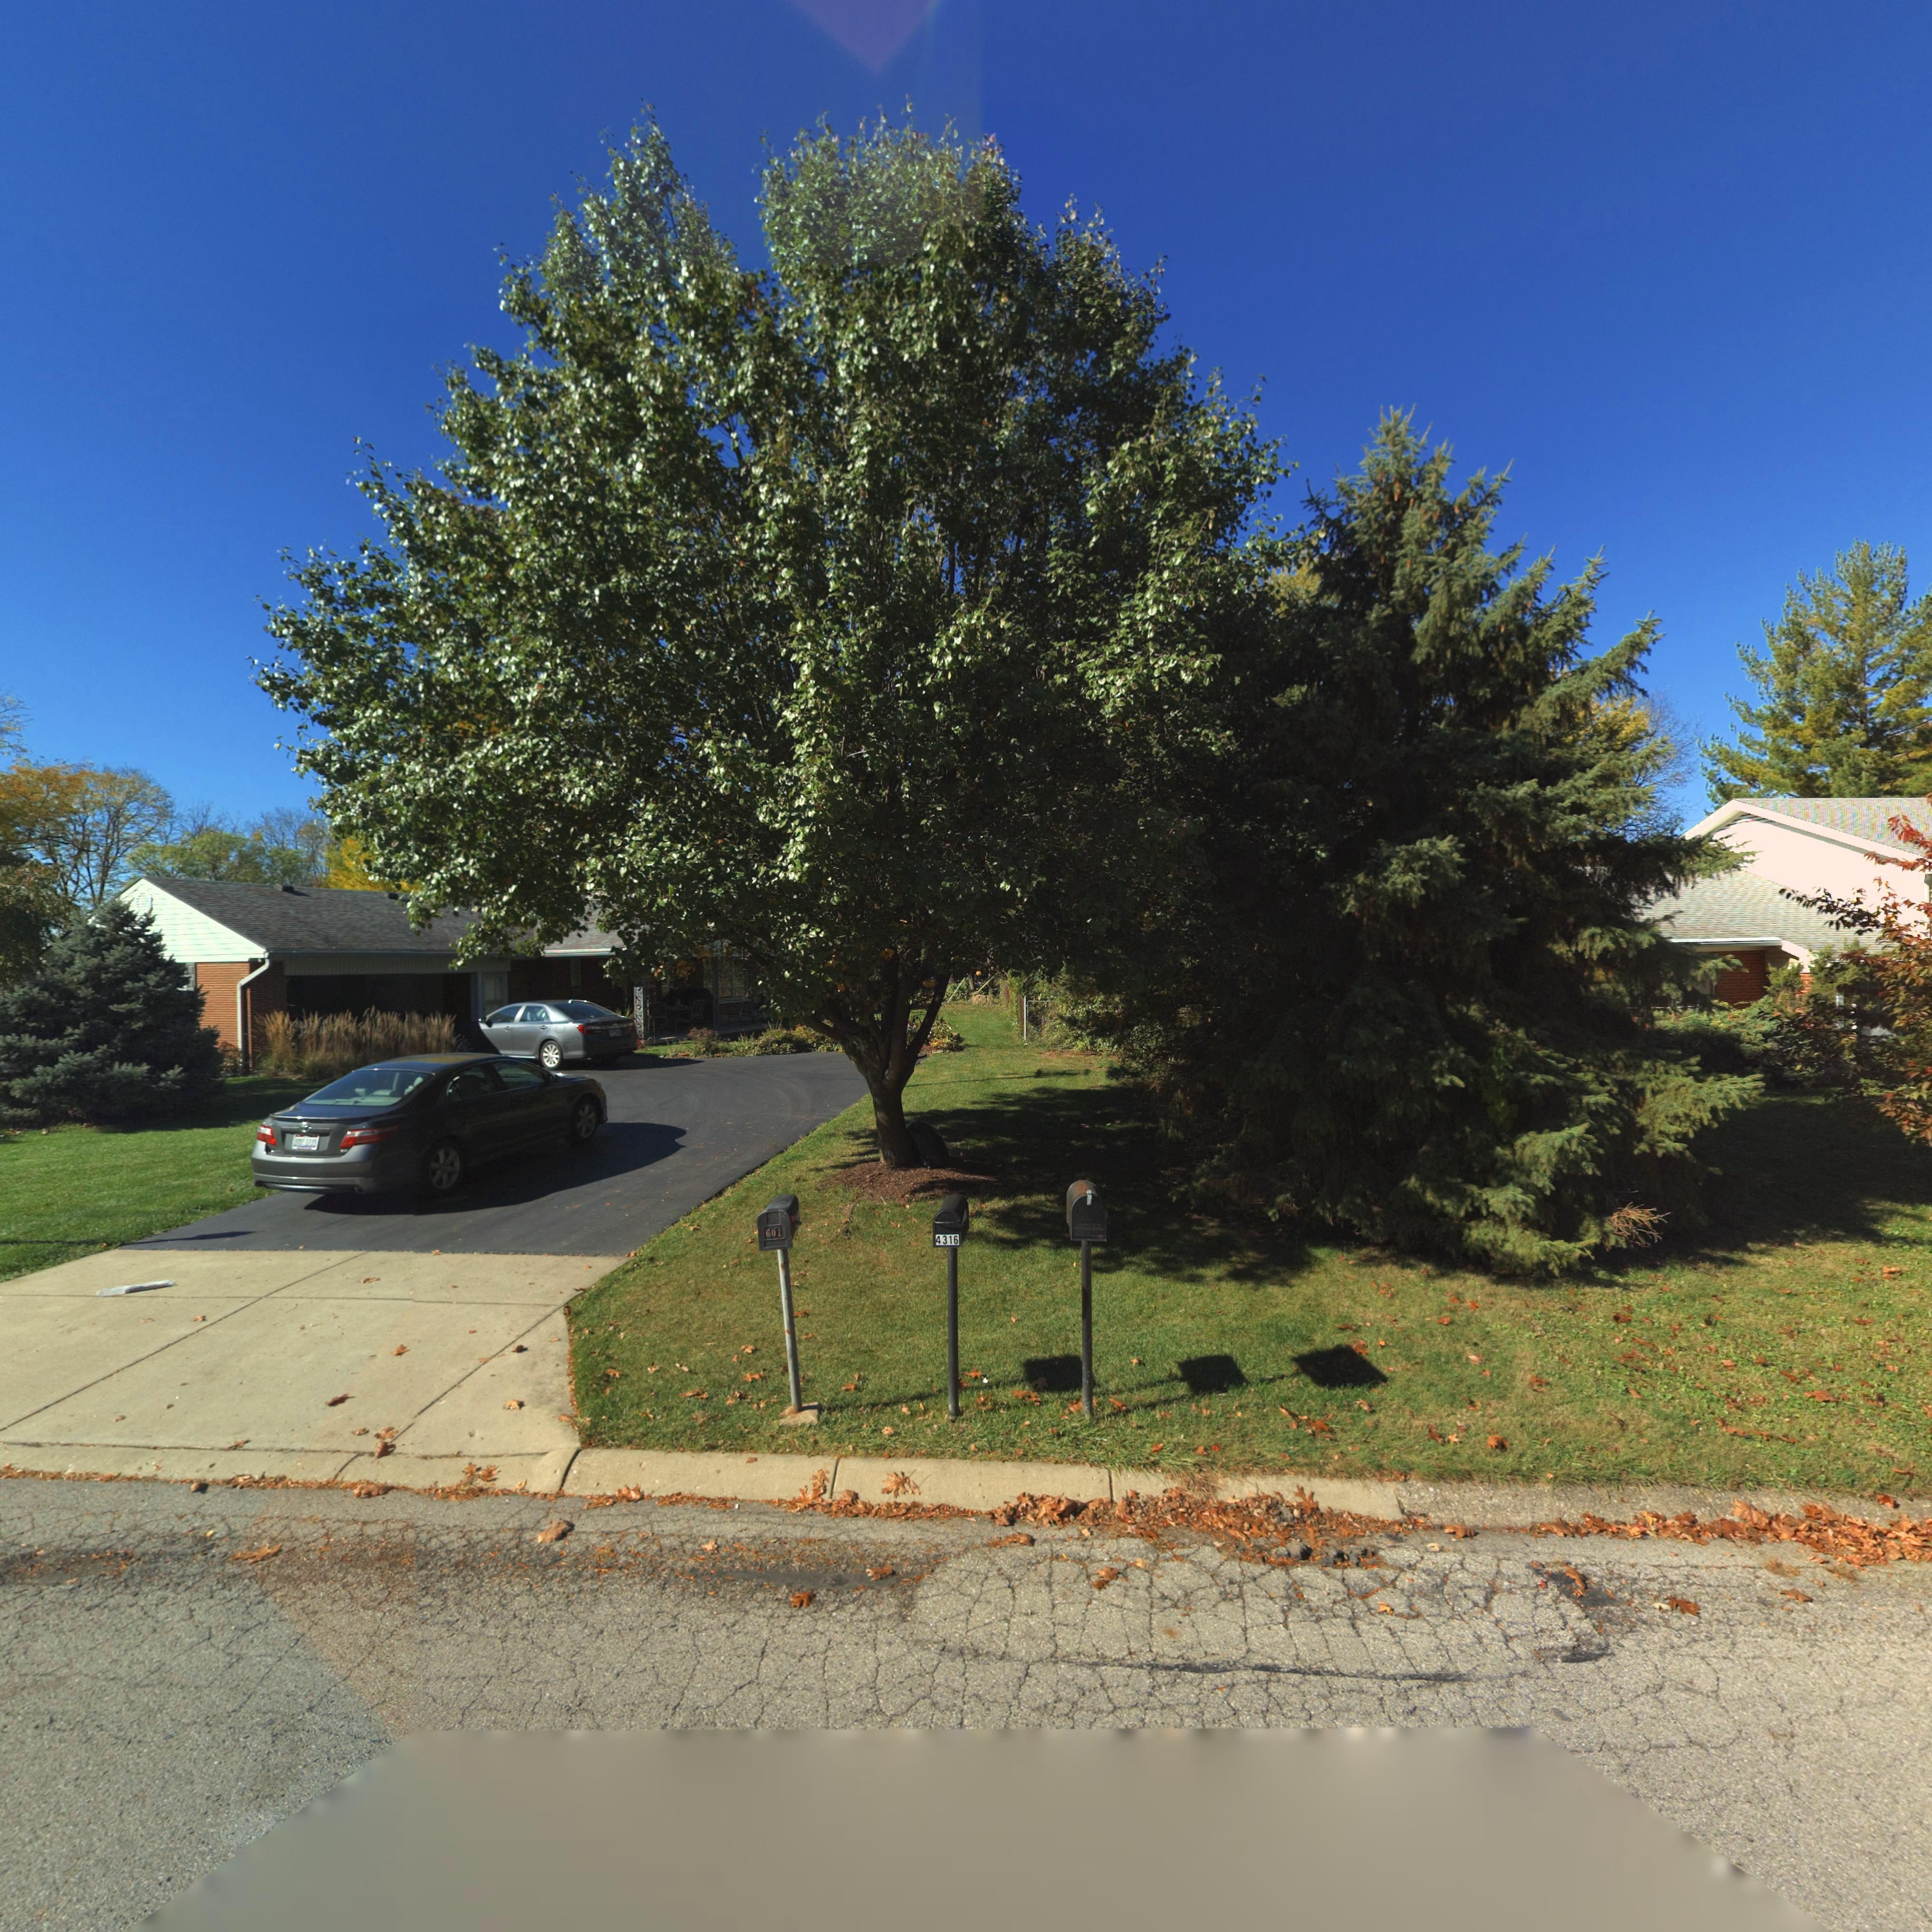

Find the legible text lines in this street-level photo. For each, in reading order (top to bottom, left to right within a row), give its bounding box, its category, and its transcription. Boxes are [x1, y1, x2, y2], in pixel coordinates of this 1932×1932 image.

[764, 1228, 781, 1238] StreetNumber: 601
[936, 1235, 959, 1245] StreetNumber: 4316